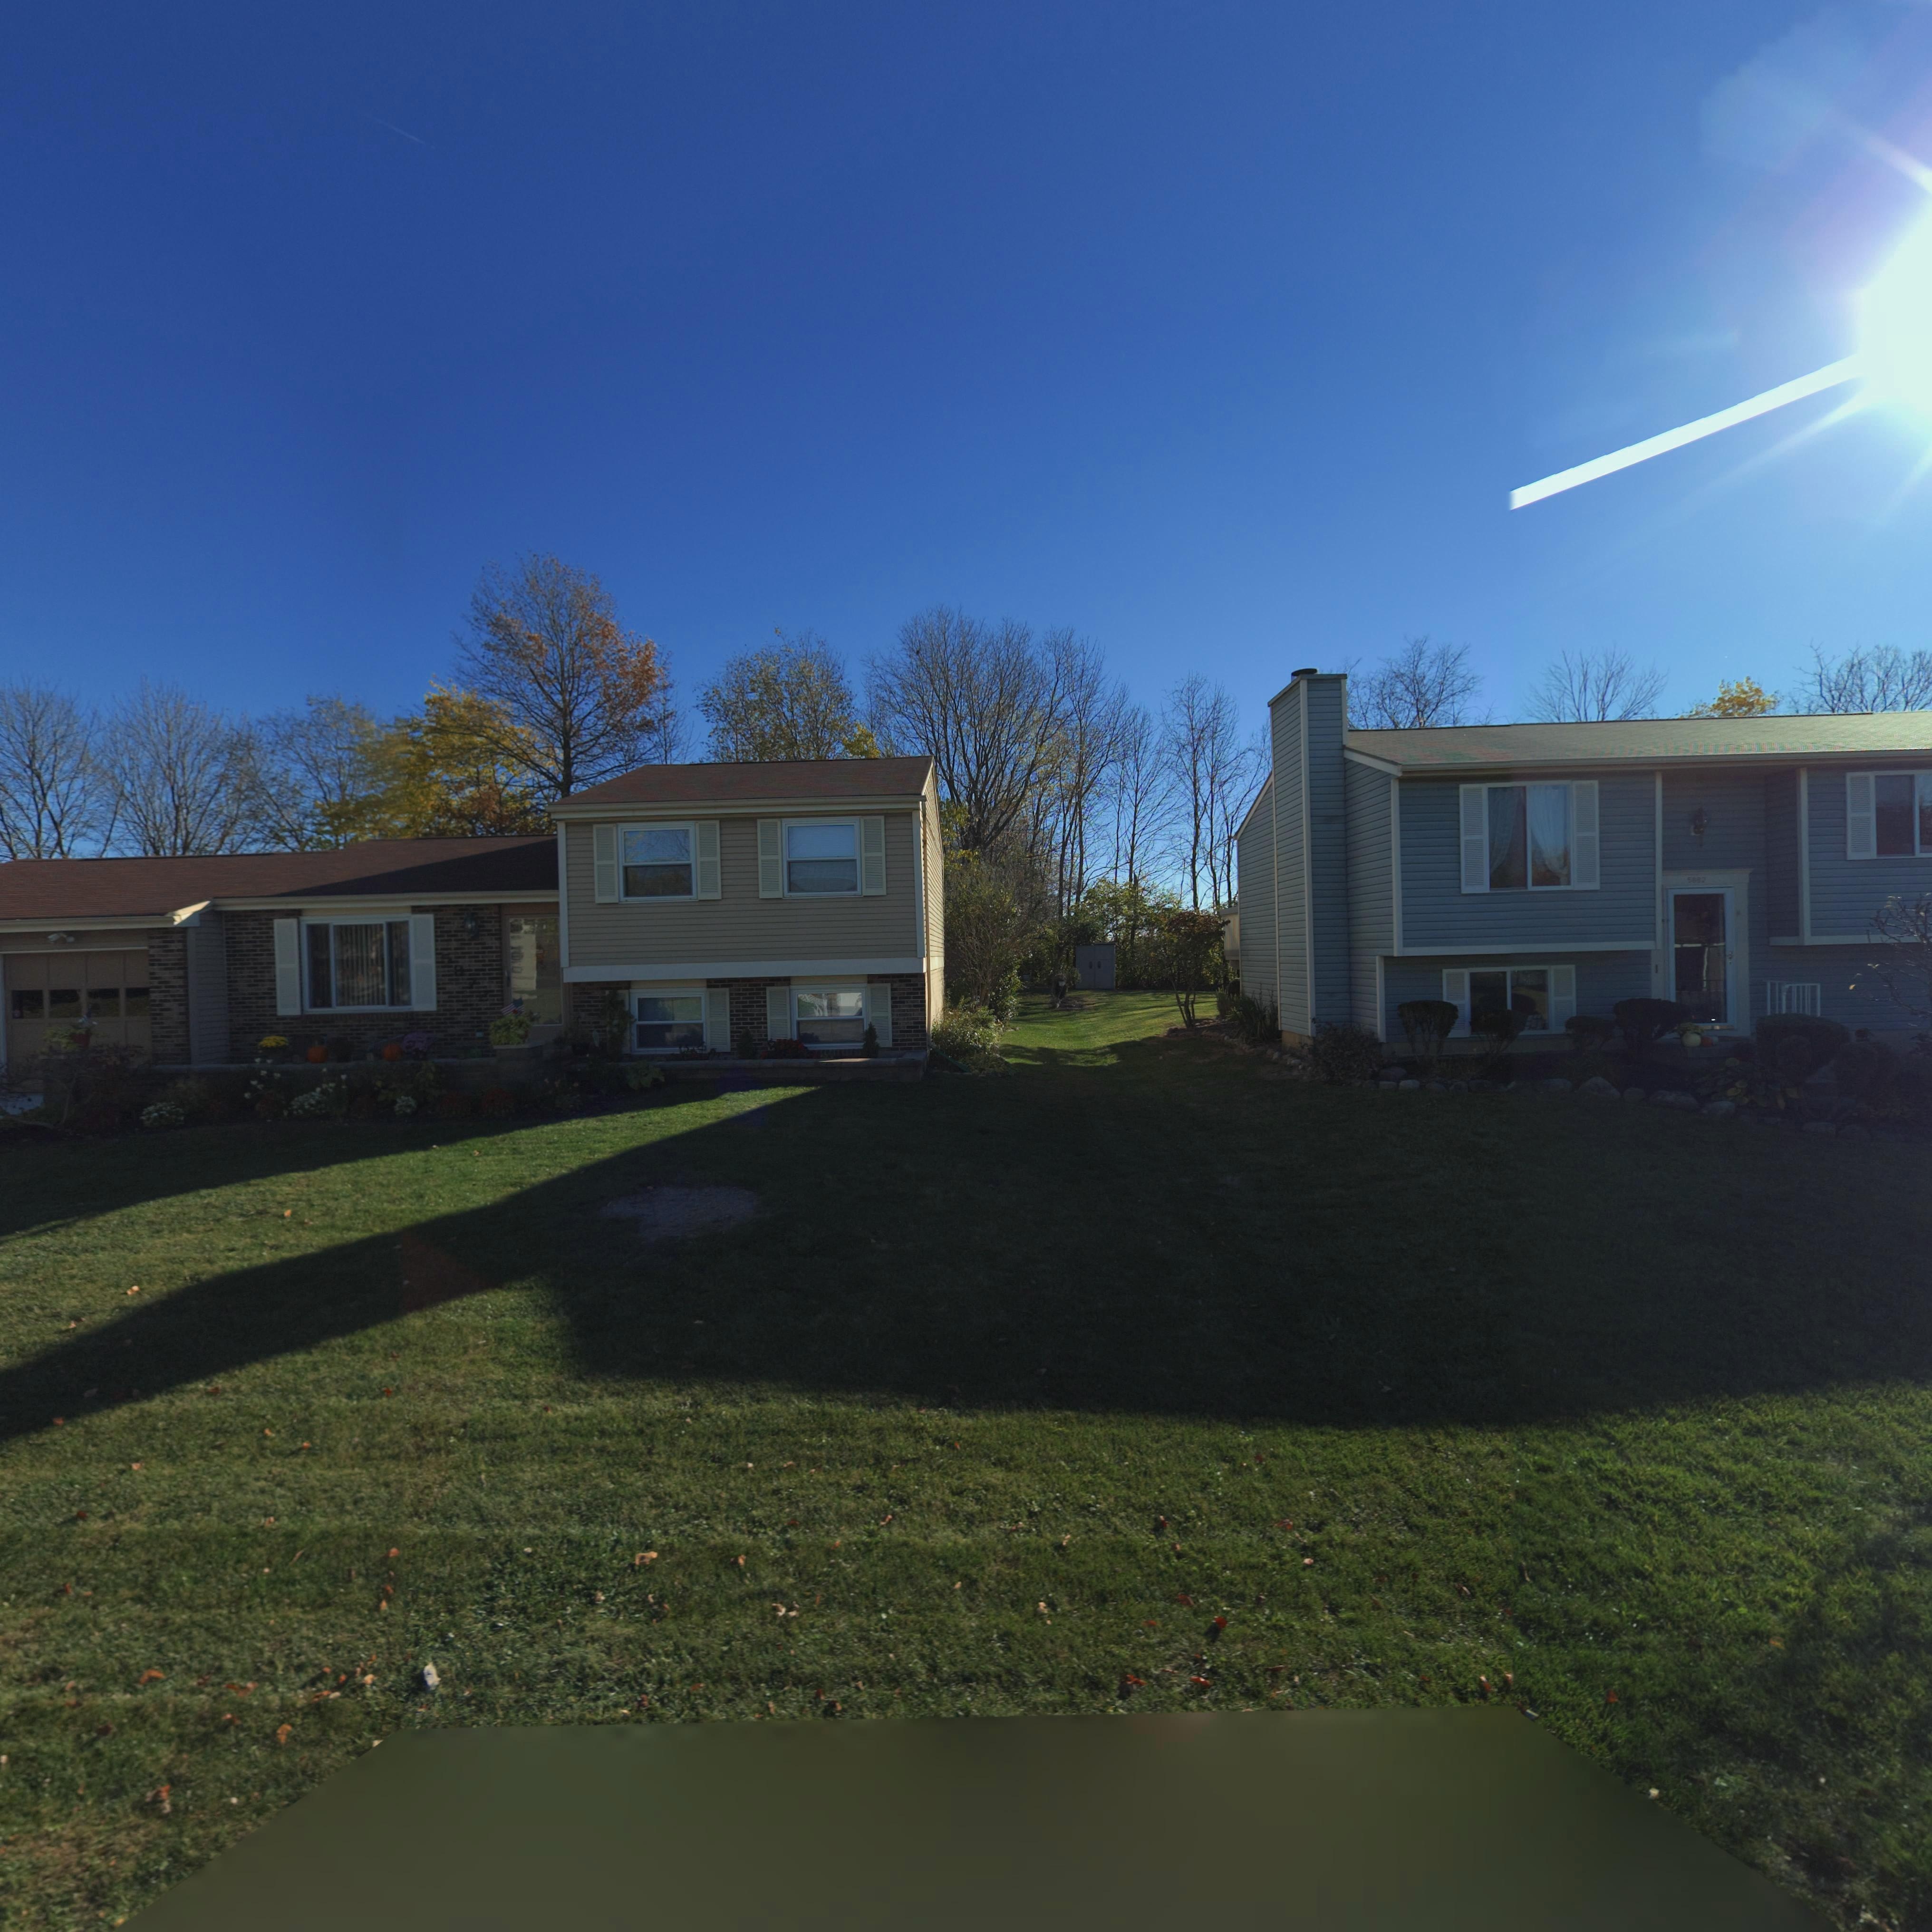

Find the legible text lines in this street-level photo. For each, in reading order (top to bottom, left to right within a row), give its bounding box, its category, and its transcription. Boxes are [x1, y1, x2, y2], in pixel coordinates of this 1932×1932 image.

[1687, 876, 1706, 883] StreetNumber: 5882
[439, 952, 490, 1003] StreetNumber: 5872